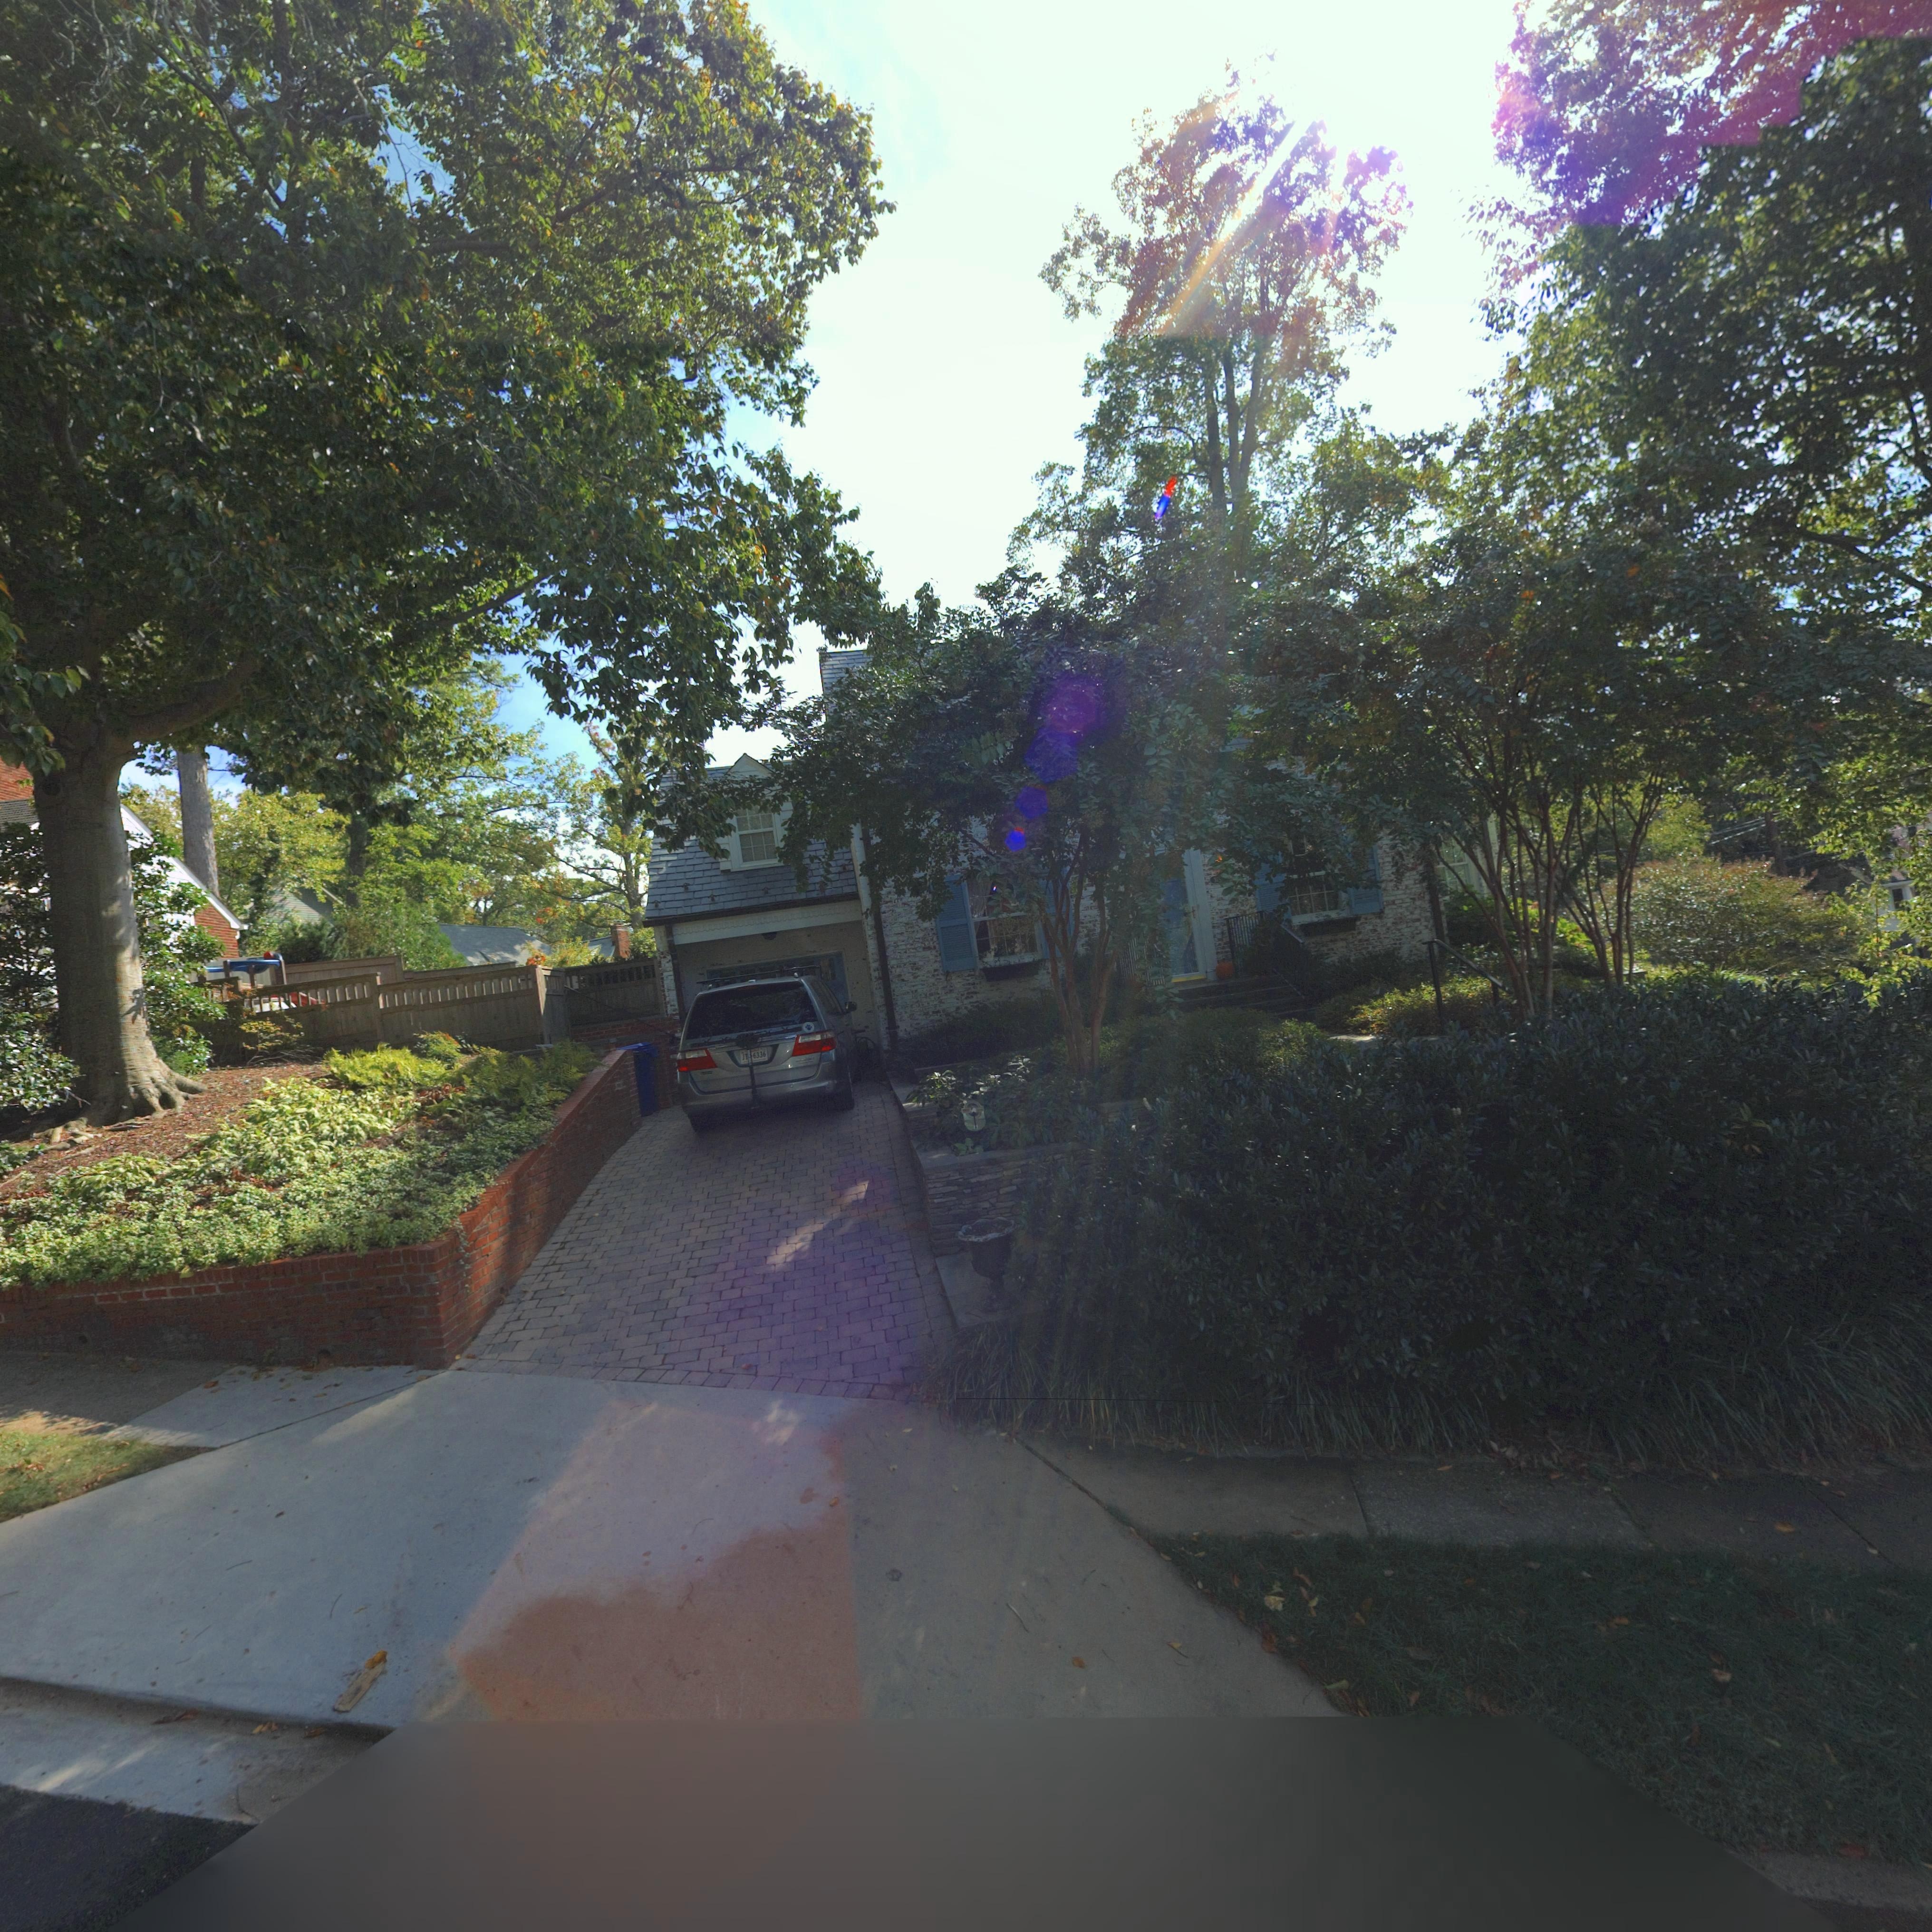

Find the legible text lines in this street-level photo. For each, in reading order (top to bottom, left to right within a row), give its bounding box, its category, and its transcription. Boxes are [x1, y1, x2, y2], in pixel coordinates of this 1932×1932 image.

[741, 1049, 768, 1062] None: JT**6336